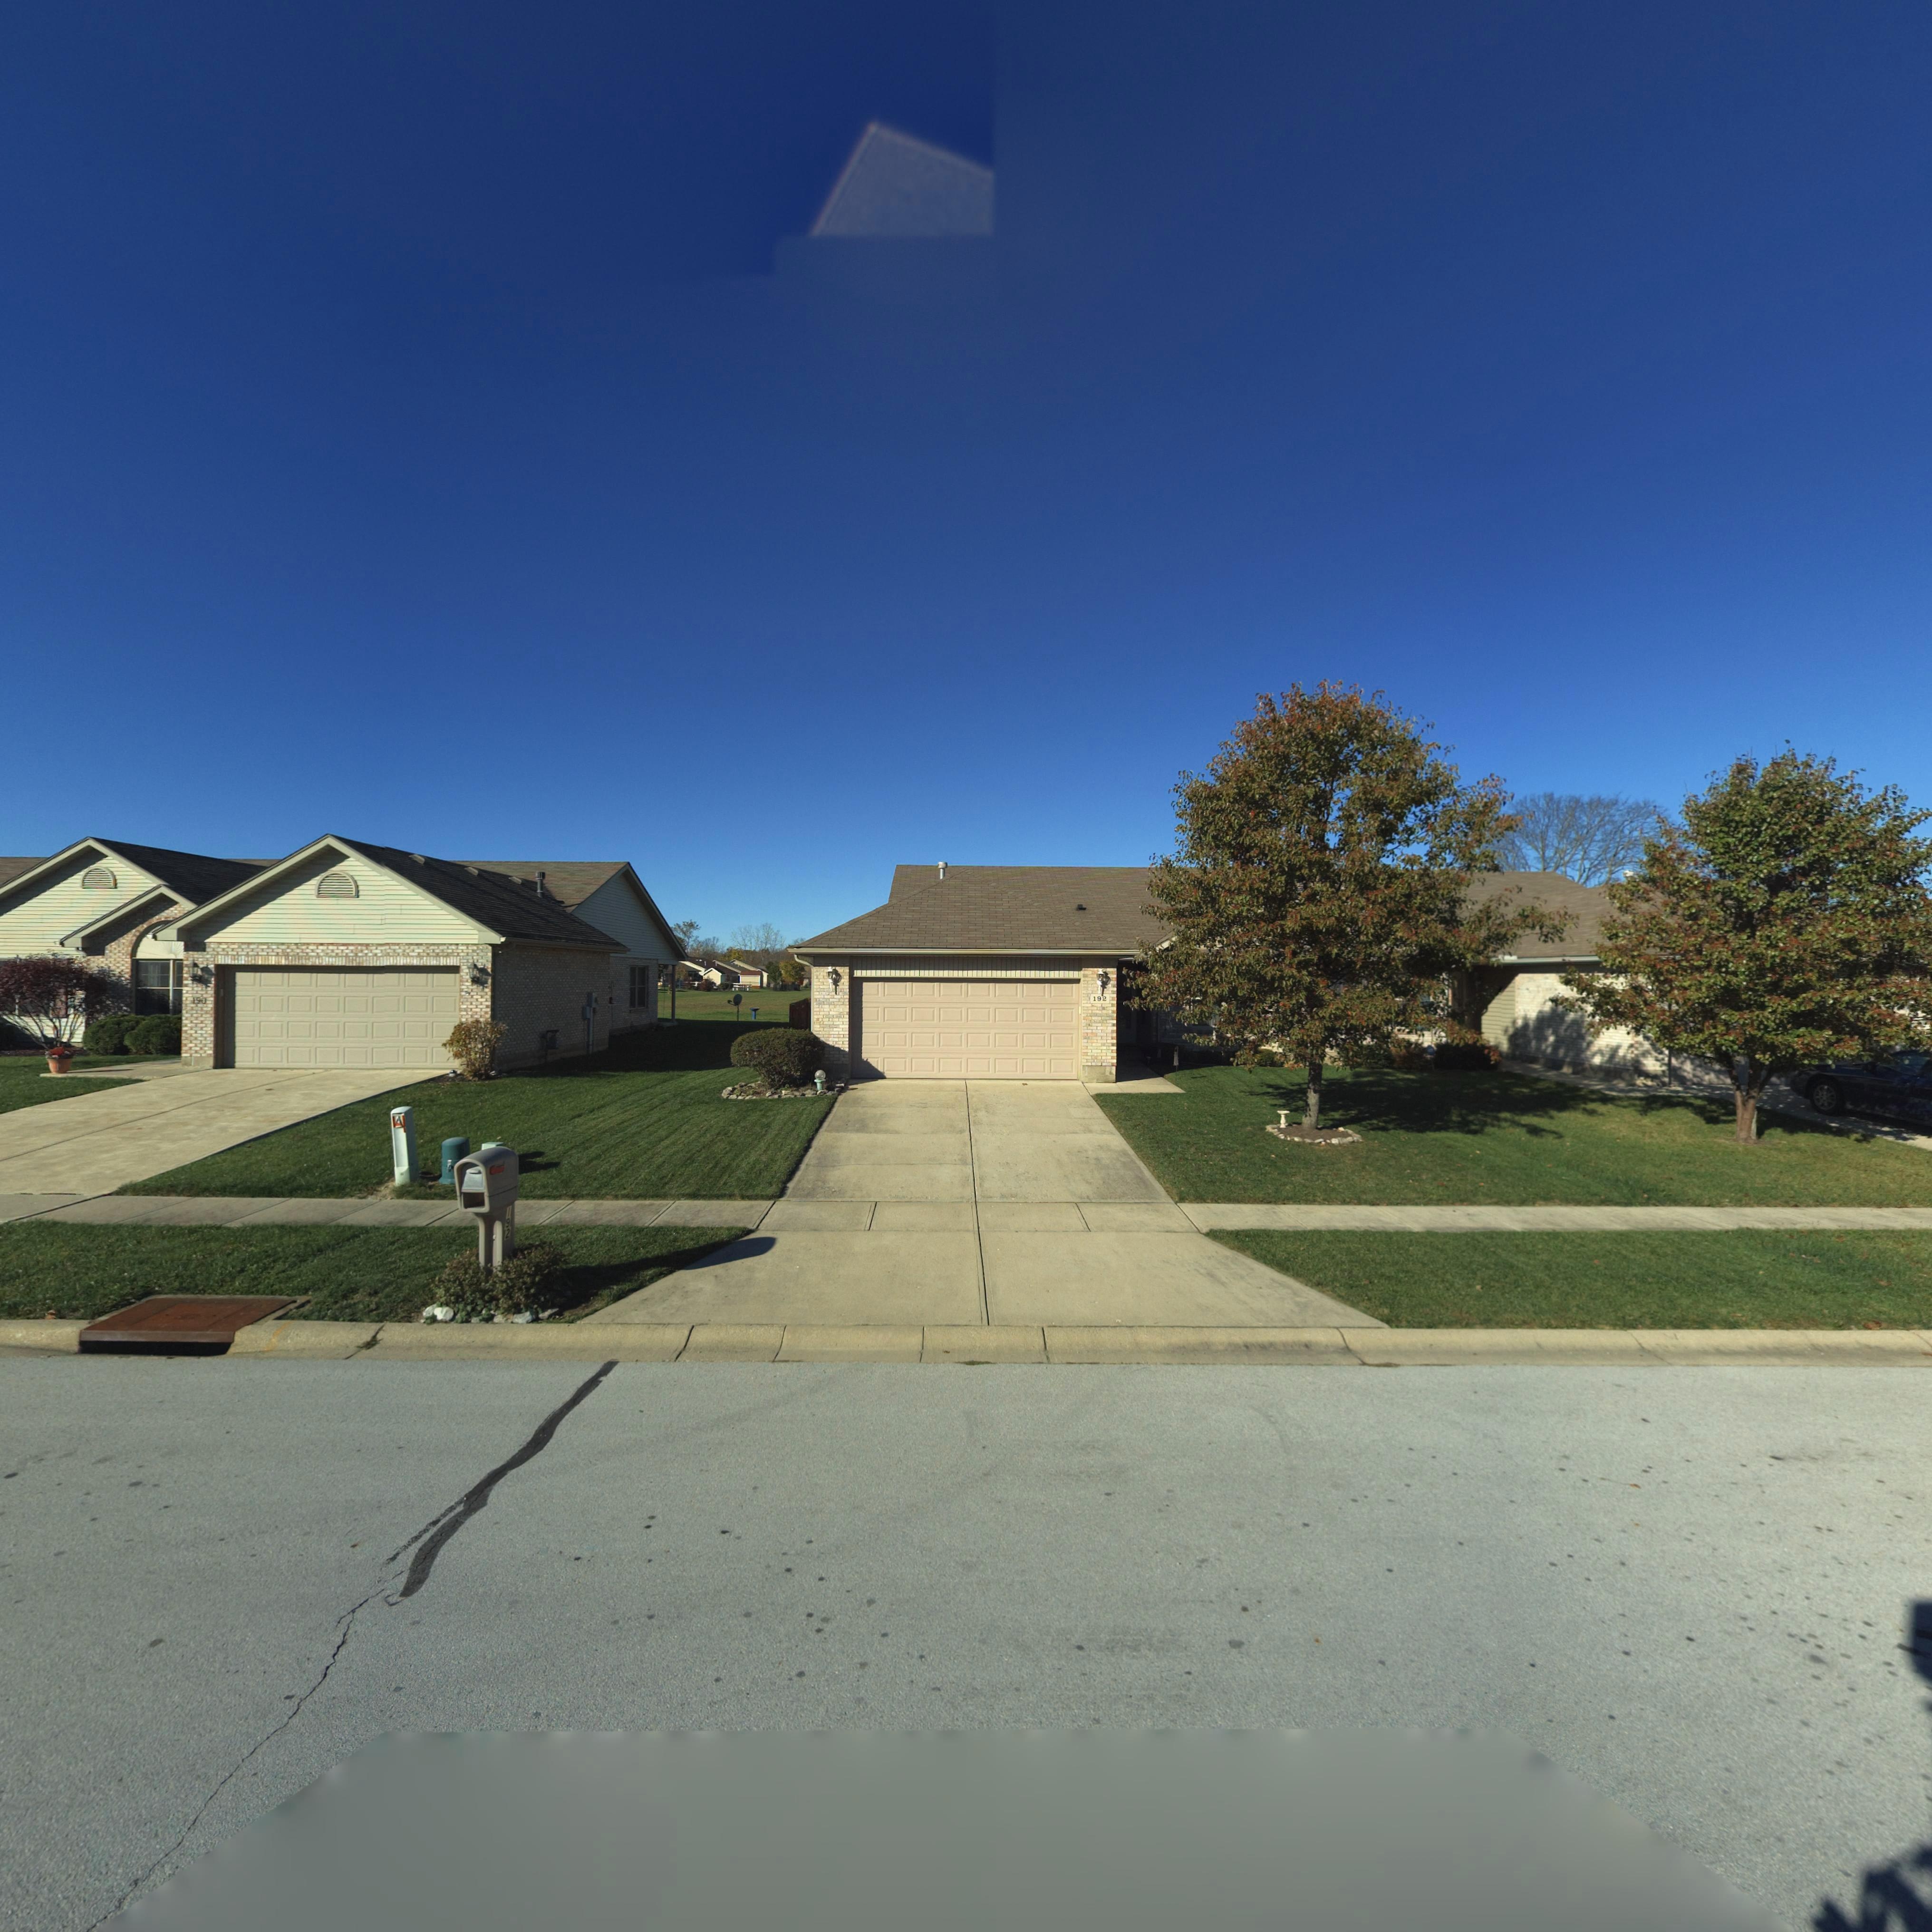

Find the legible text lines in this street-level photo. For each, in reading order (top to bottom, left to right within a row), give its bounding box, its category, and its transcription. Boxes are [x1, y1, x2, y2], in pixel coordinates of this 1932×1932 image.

[191, 996, 208, 1005] StreetNumber: 190
[1092, 995, 1108, 1002] StreetNumber: 192
[504, 1206, 512, 1239] StreetNumber: 192